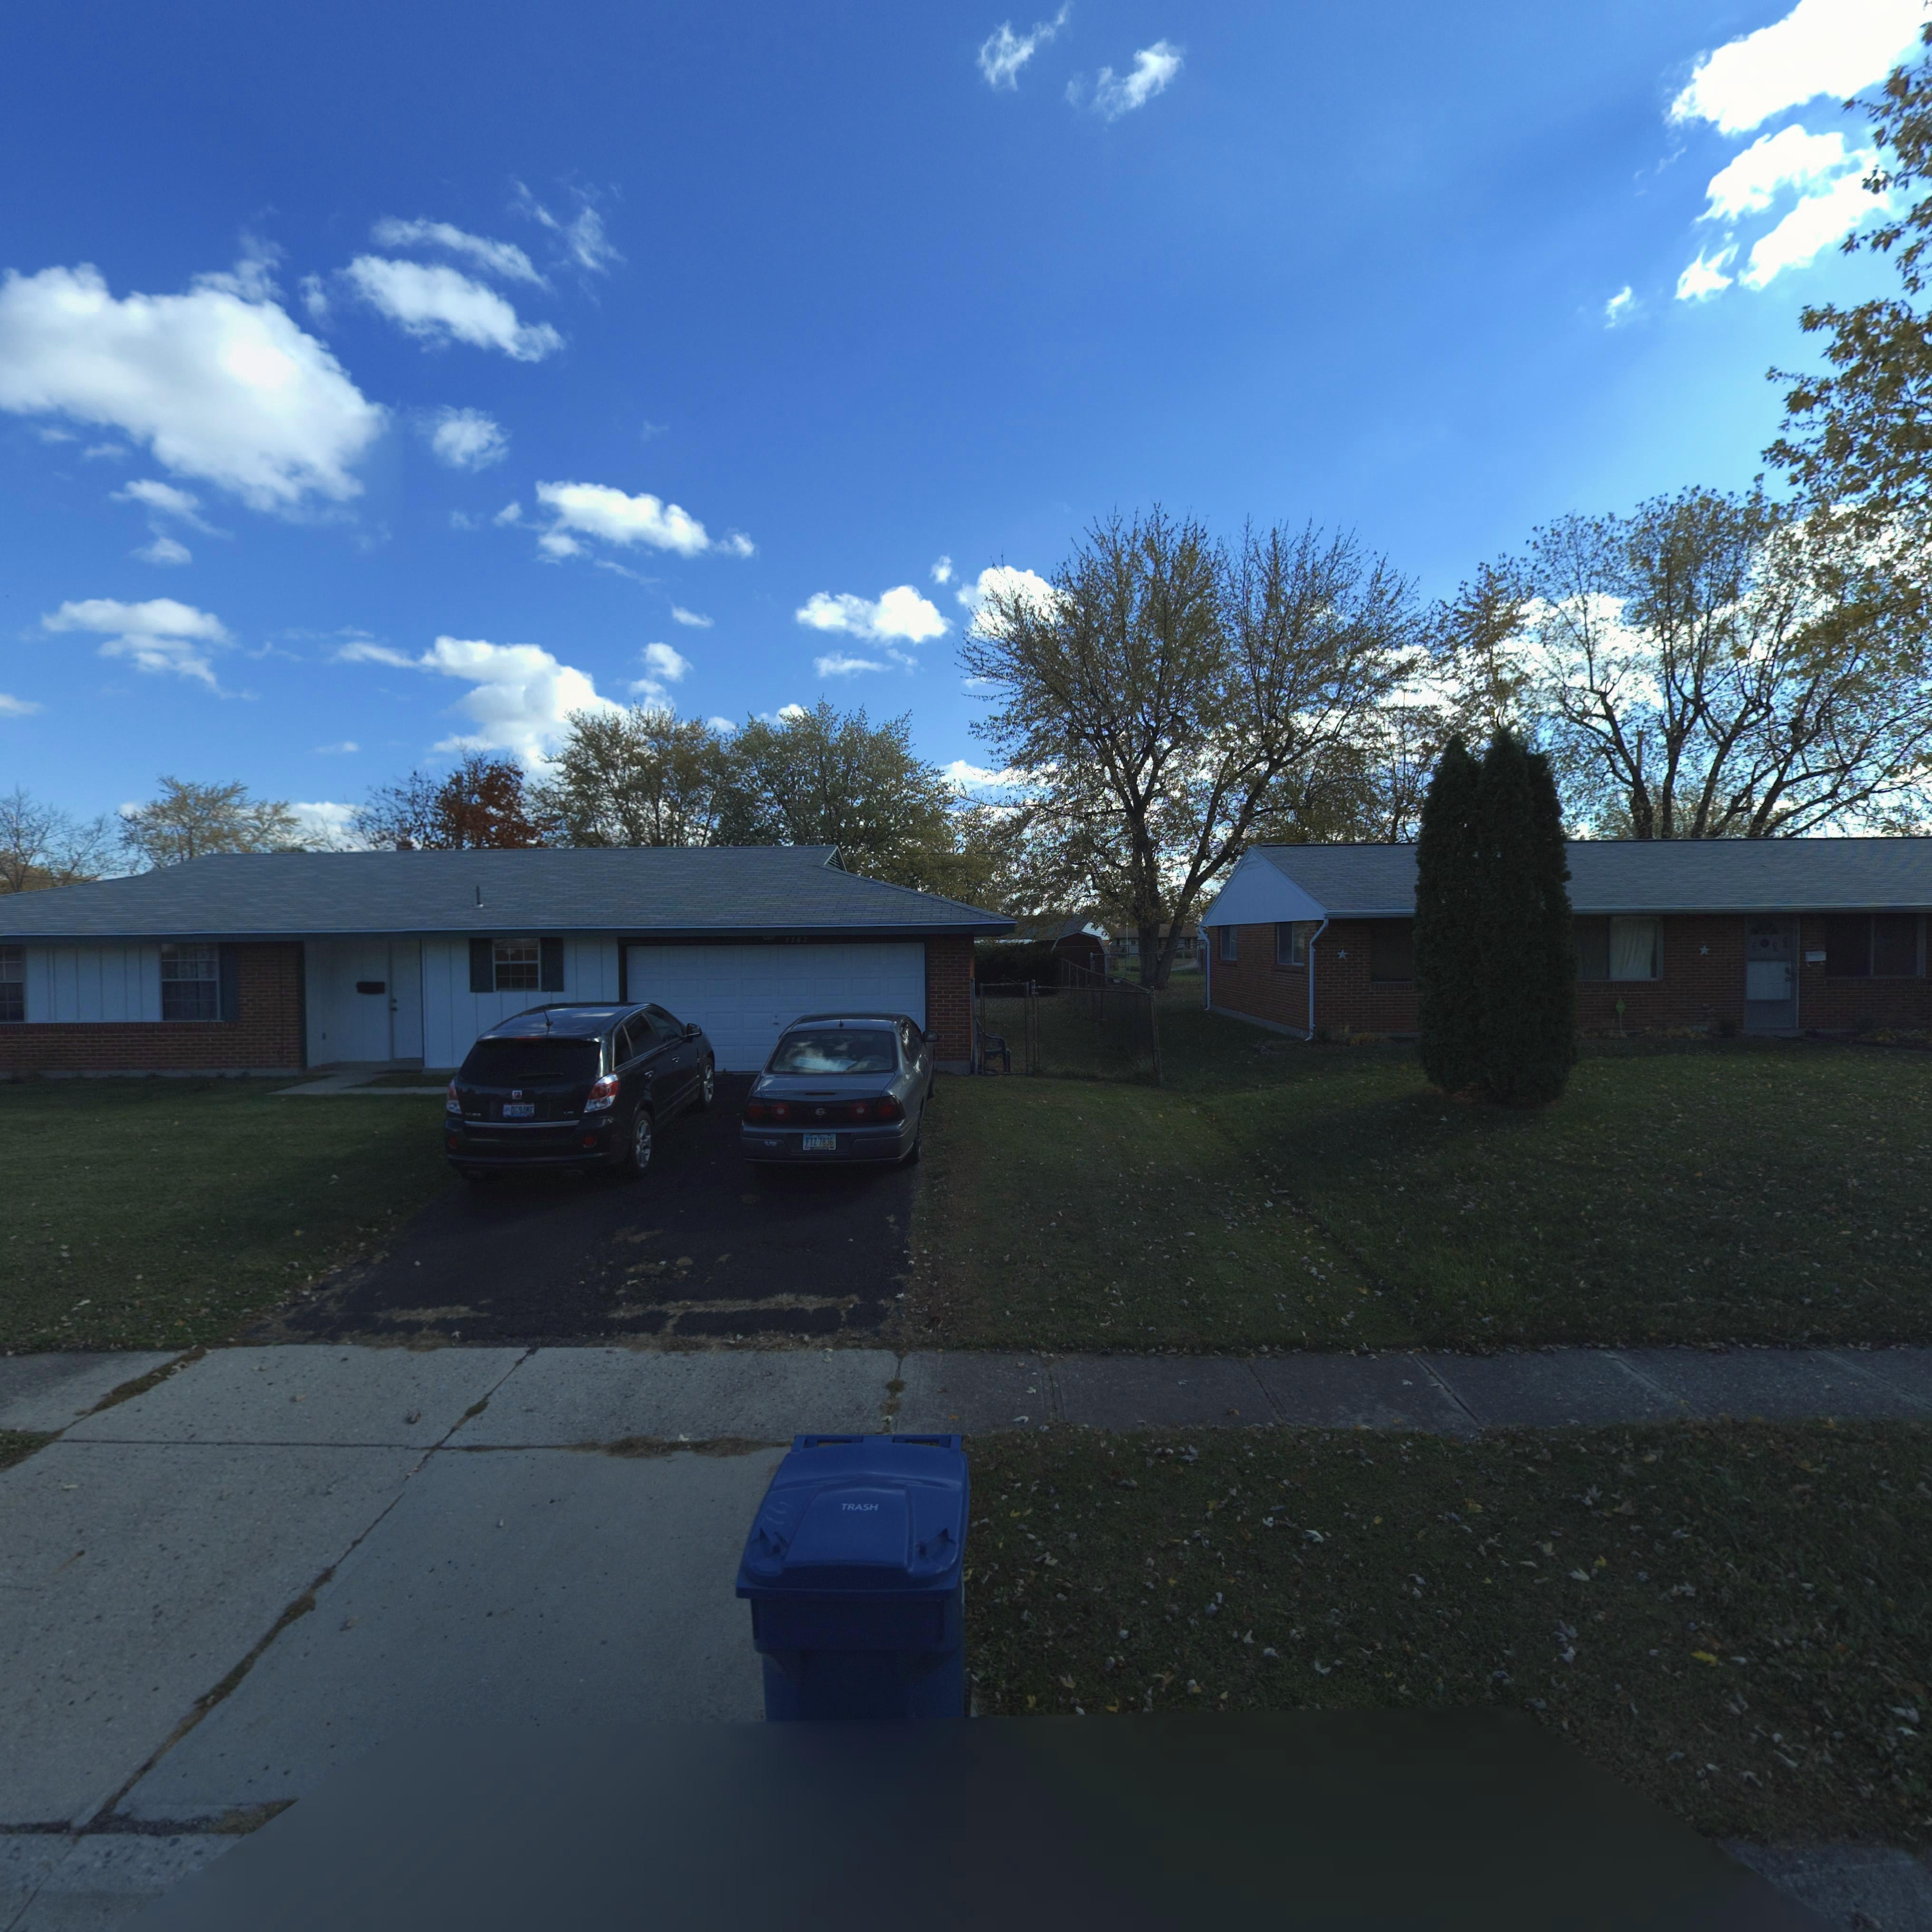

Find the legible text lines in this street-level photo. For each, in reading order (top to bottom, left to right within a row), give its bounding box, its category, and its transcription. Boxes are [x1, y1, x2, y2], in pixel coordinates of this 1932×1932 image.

[784, 935, 808, 945] StreetNumber: 77*2